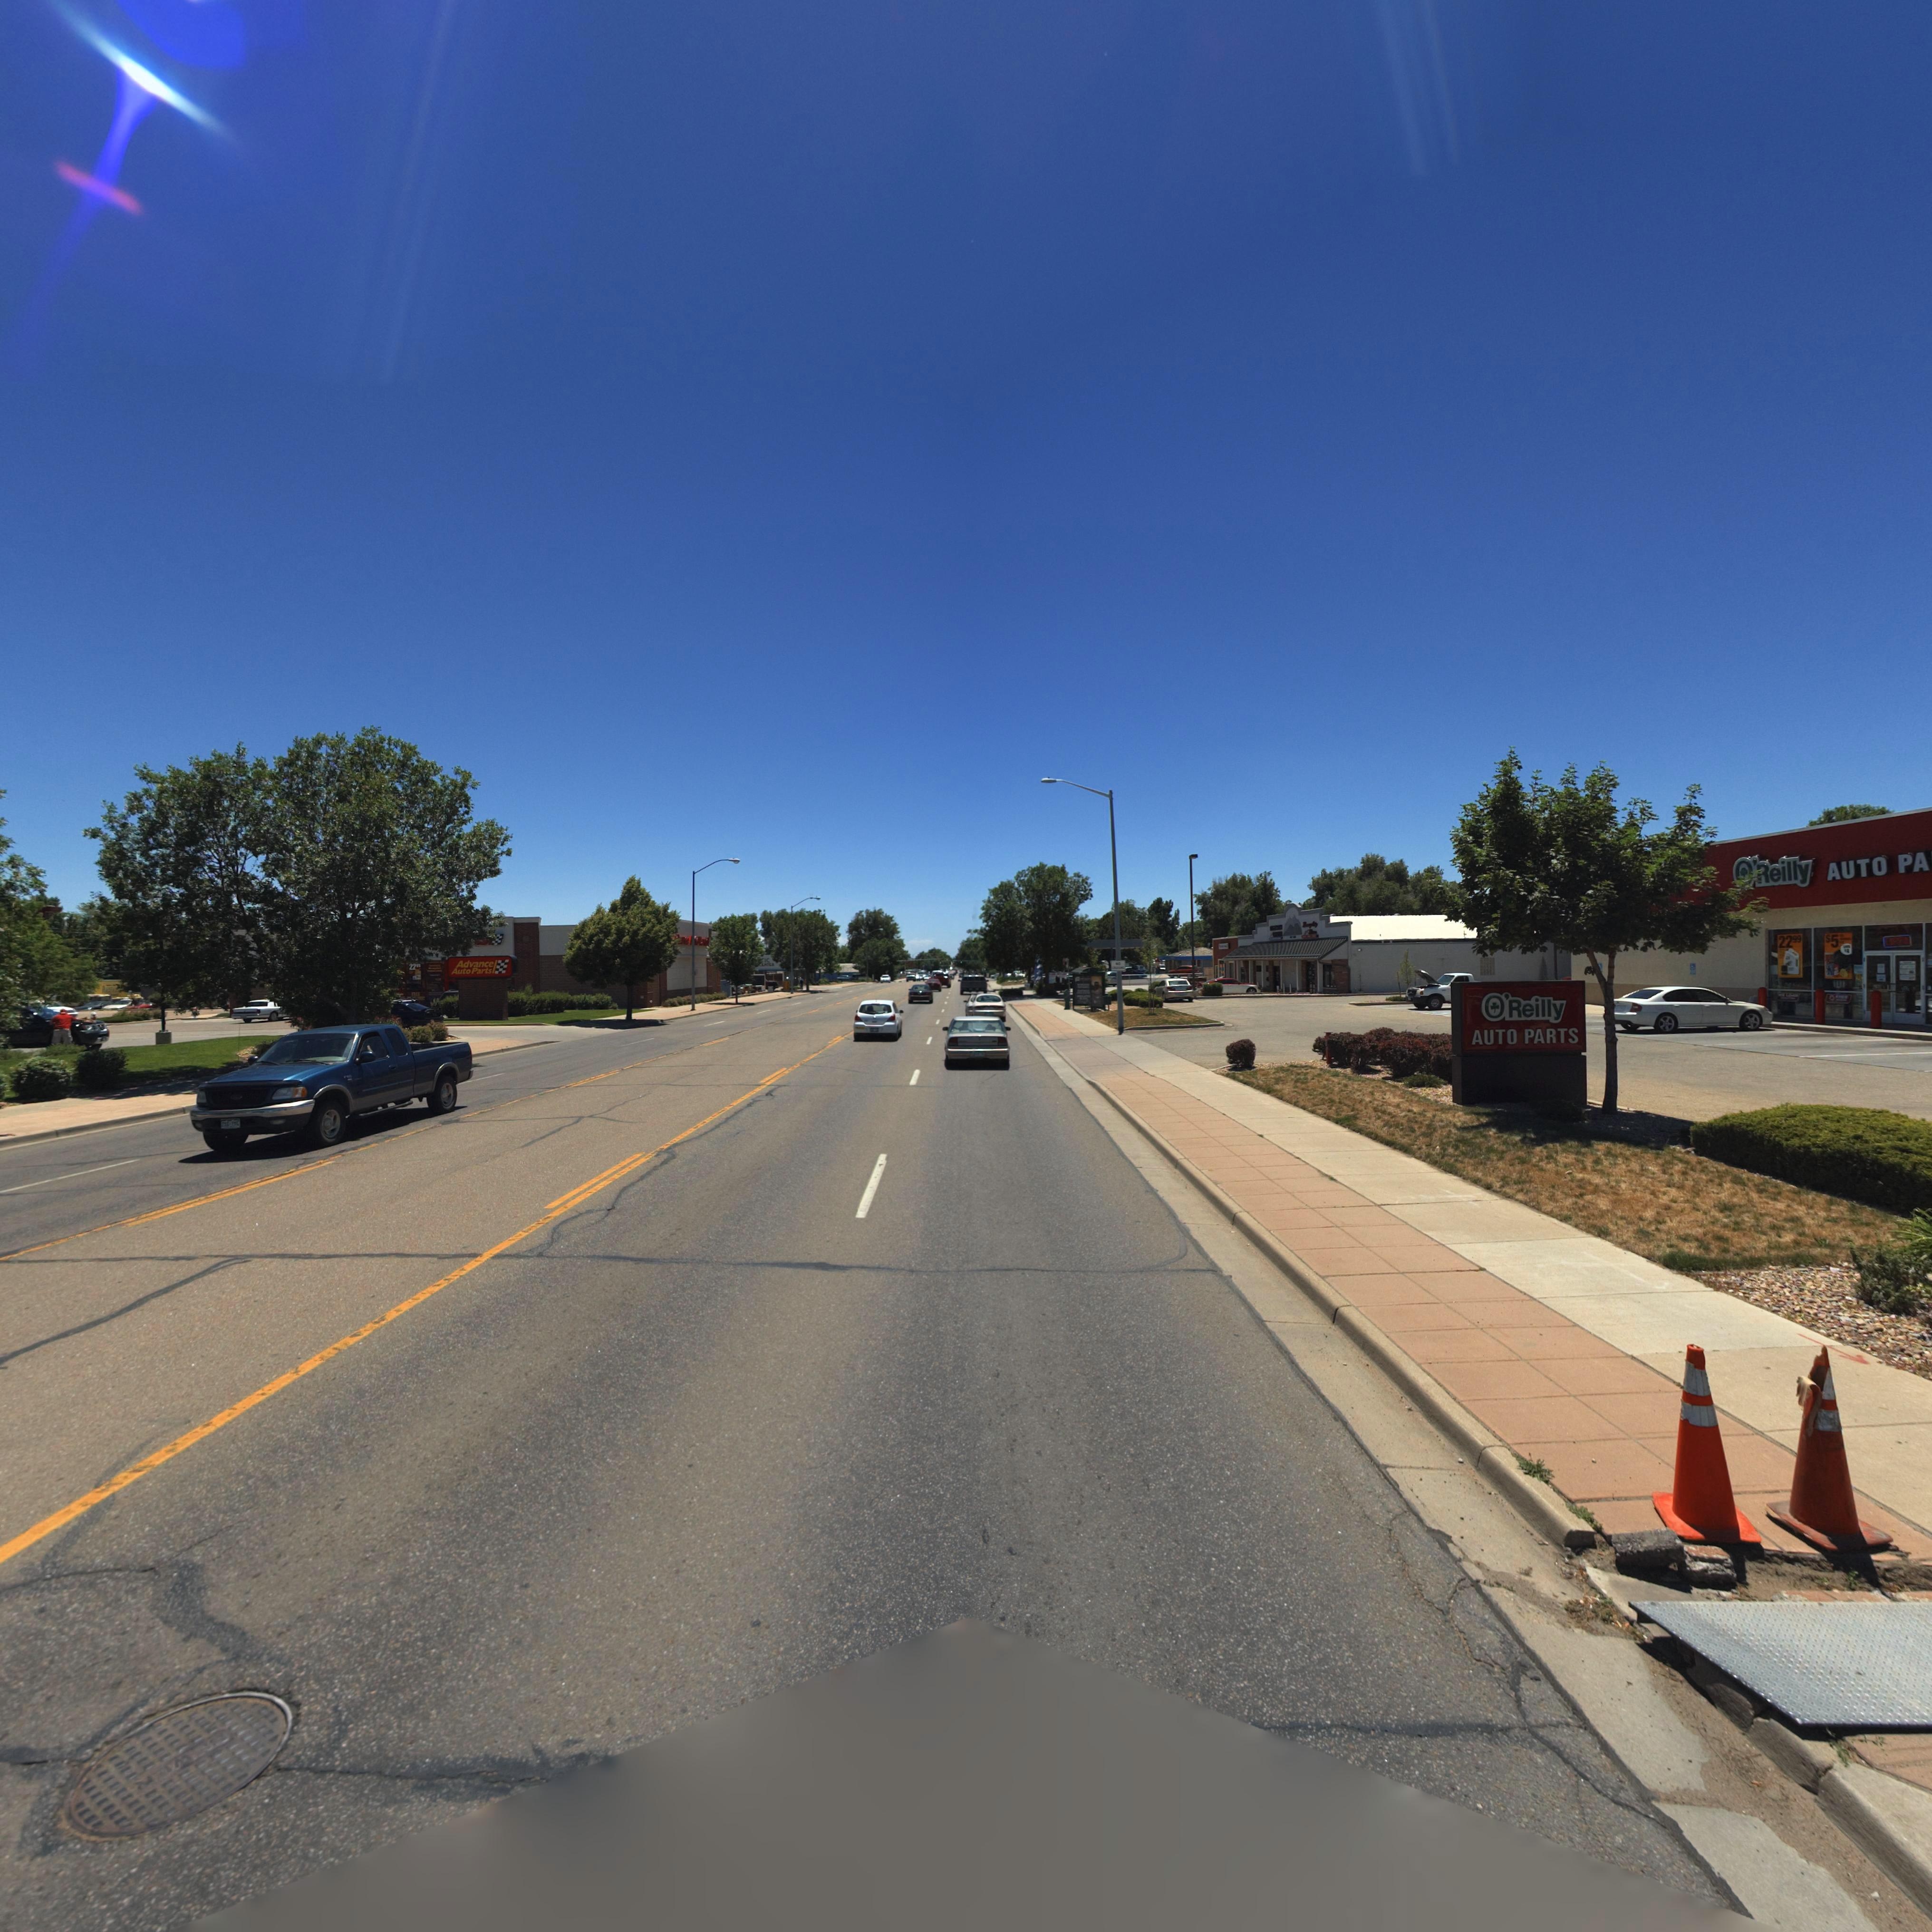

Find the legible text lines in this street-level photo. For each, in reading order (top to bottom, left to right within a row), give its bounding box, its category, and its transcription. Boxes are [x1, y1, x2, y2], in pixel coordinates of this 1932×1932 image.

[1730, 853, 1815, 892] BusinessName: O'Reilly
[1826, 850, 1932, 882] BusinessName: AUTO PA
[450, 967, 493, 975] BusinessName: Auto Parts
[454, 959, 495, 968] BusinessName: Advance
[1481, 991, 1568, 1024] BusinessName: O'Reilly
[1470, 1027, 1580, 1045] BusinessName: AUTO PARTS